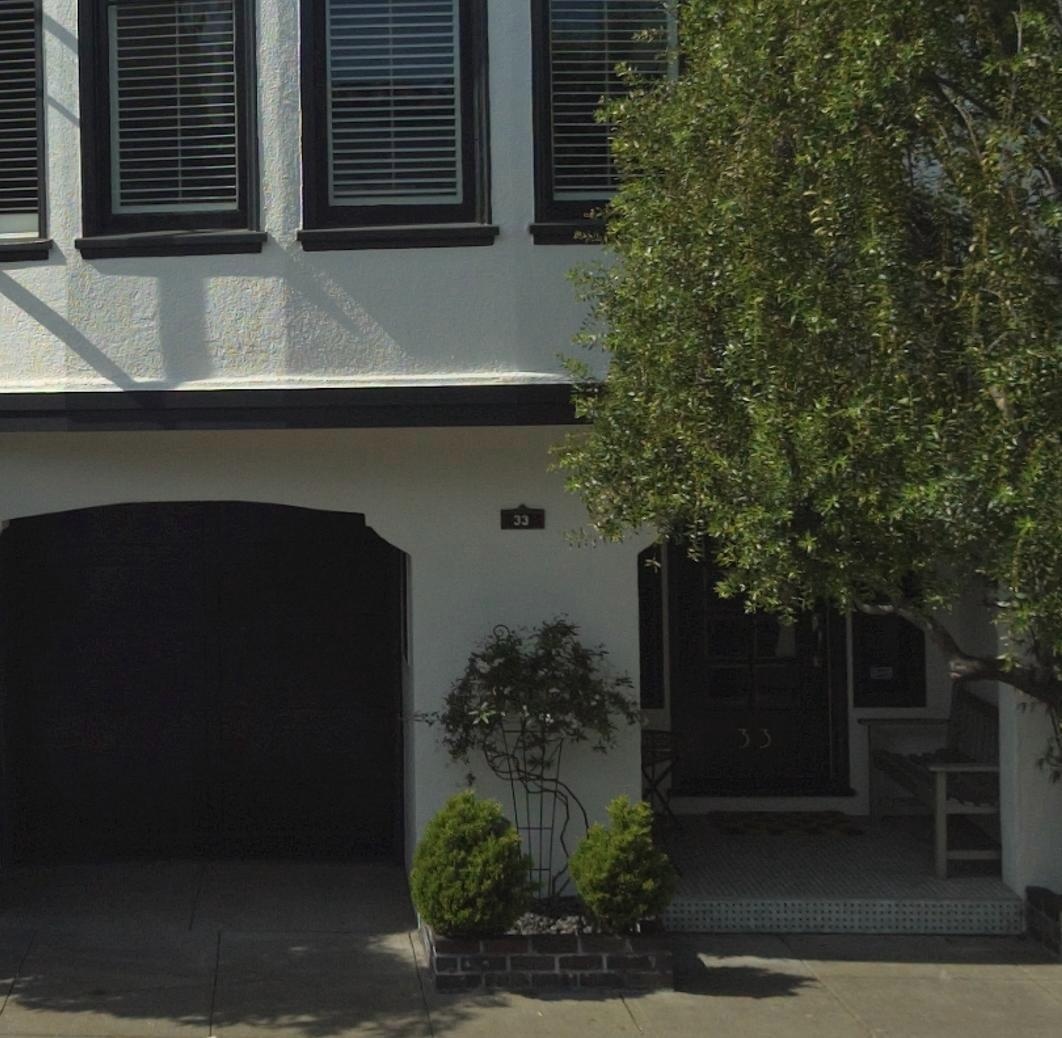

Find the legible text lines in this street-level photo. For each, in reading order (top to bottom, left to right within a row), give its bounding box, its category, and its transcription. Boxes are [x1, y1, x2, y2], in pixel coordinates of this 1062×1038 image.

[512, 512, 531, 528] StreetNumber: 33
[736, 726, 773, 751] StreetNumber: 33